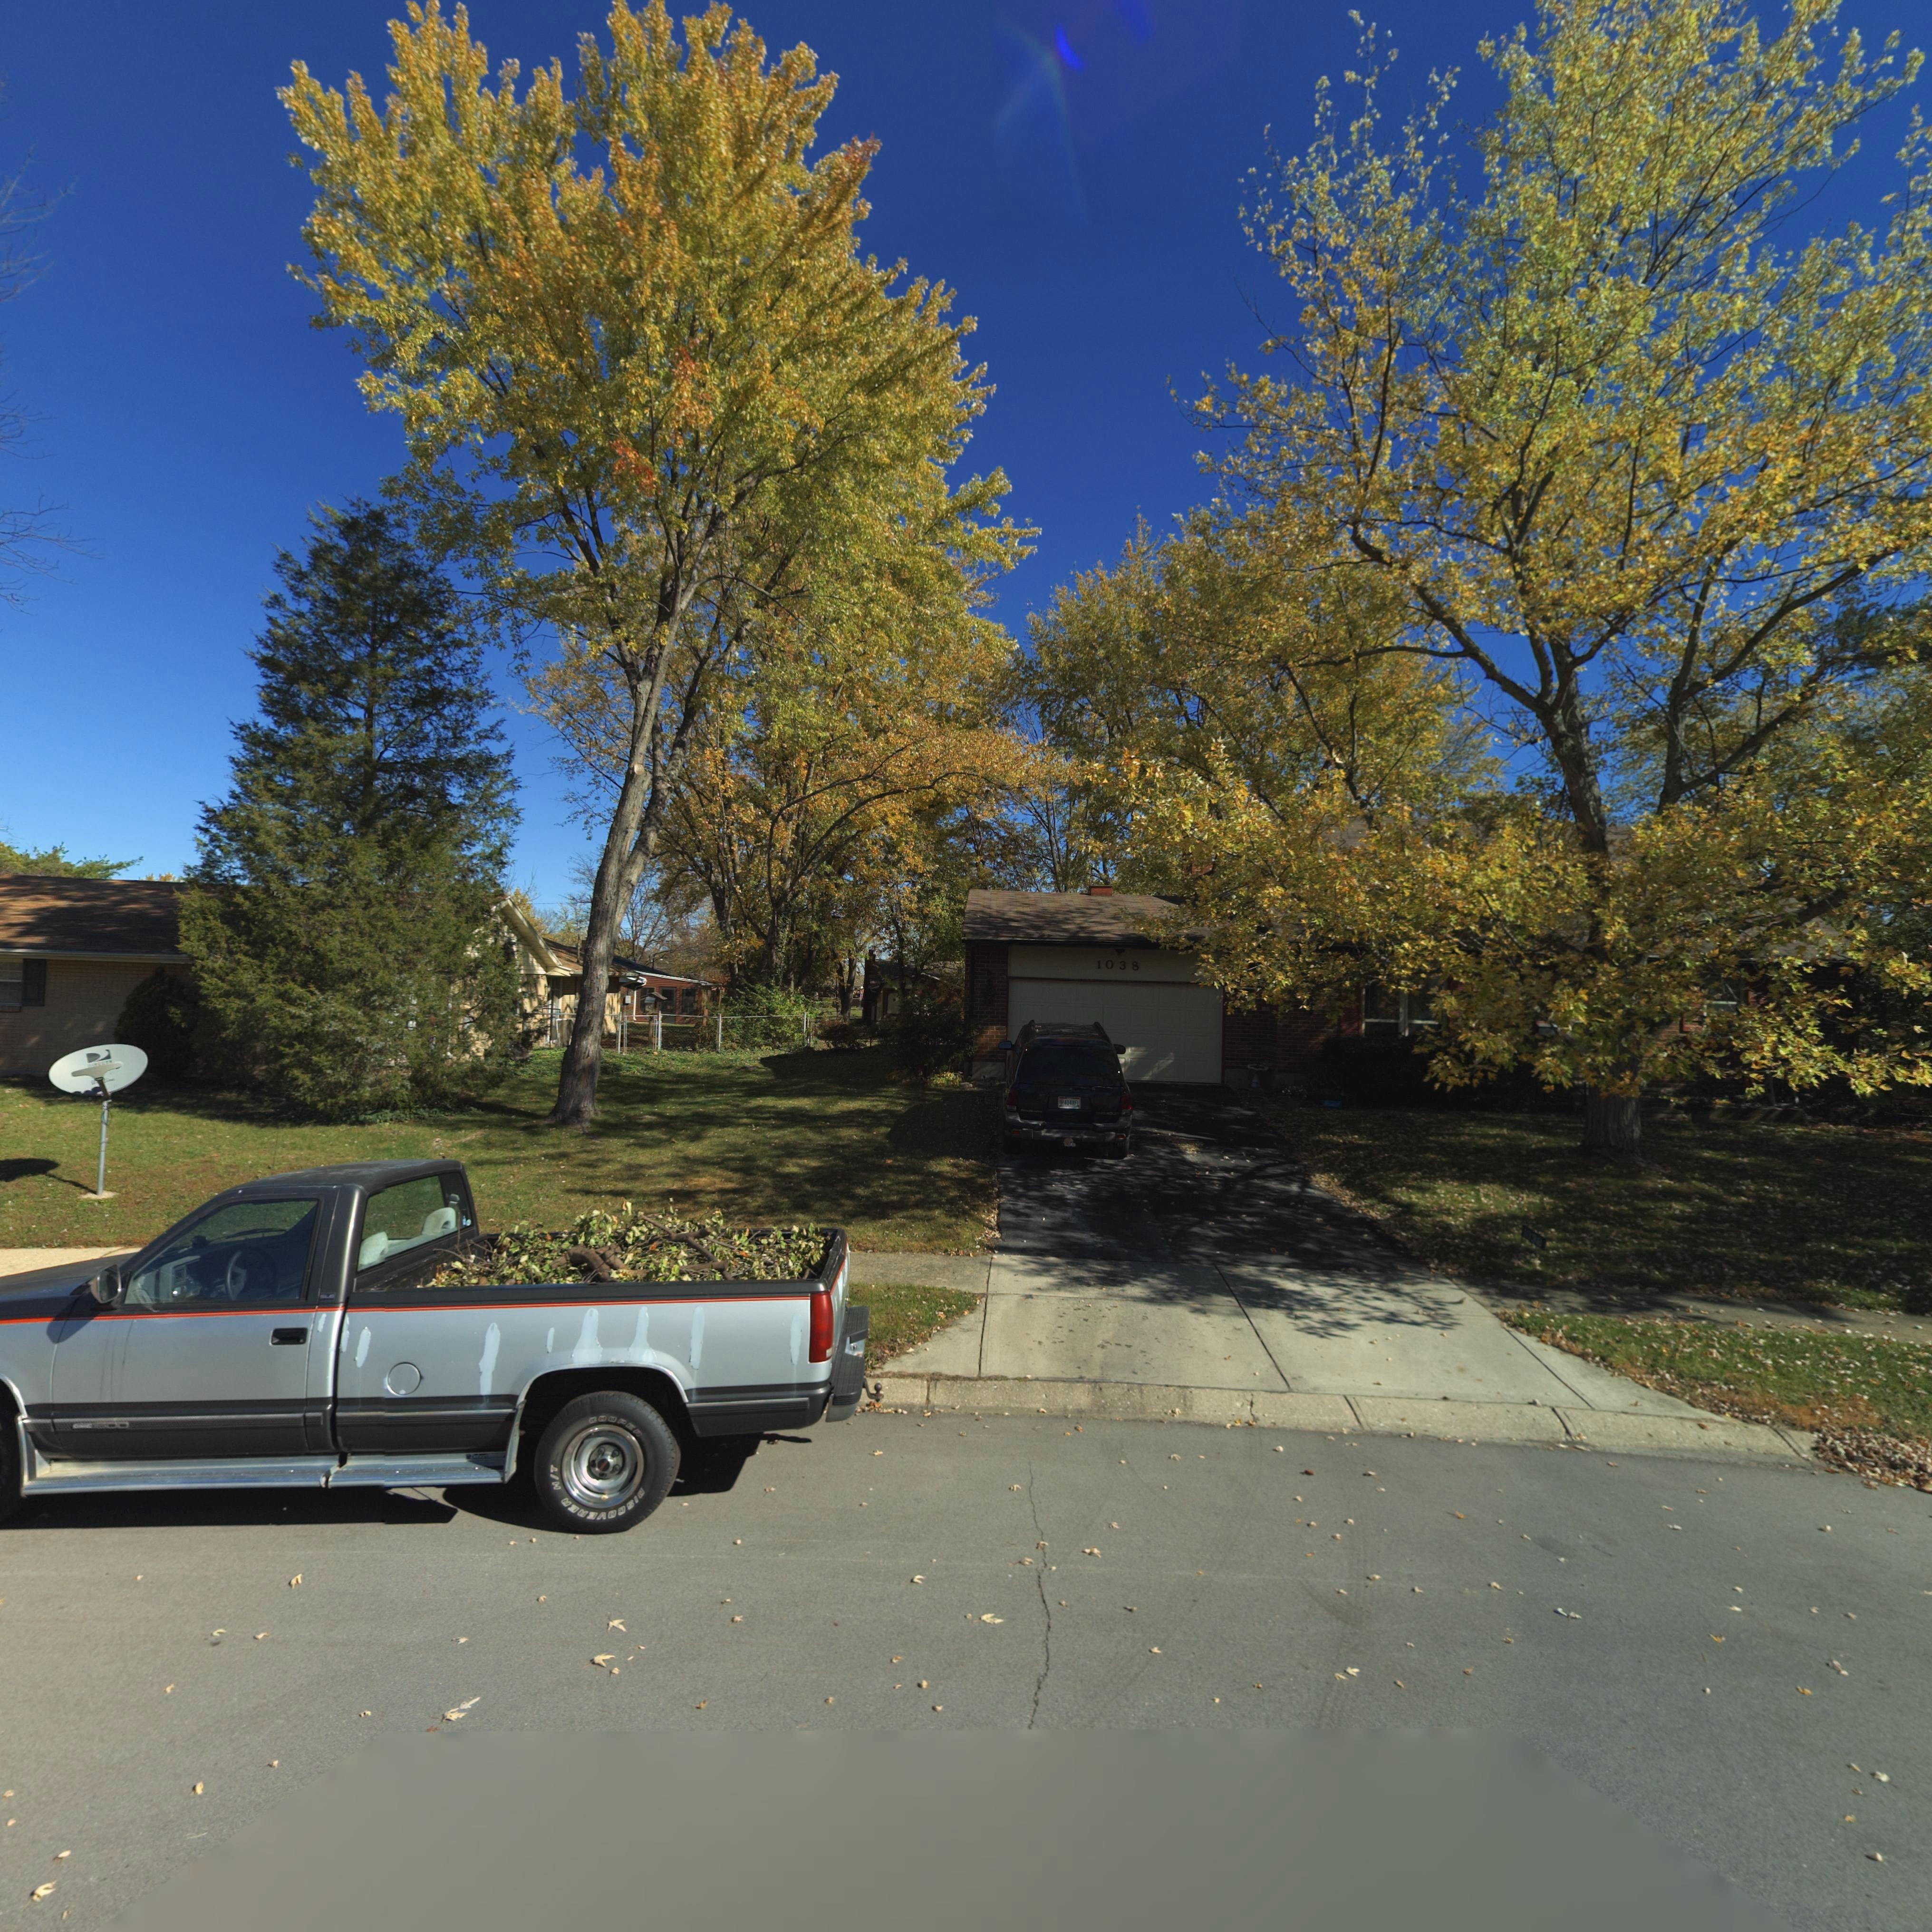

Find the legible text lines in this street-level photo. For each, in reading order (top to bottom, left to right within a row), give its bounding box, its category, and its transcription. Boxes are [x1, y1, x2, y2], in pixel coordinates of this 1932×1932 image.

[1096, 959, 1140, 972] StreetNumber: 1038
[1522, 1227, 1544, 1248] StreetNumber: 1*3*